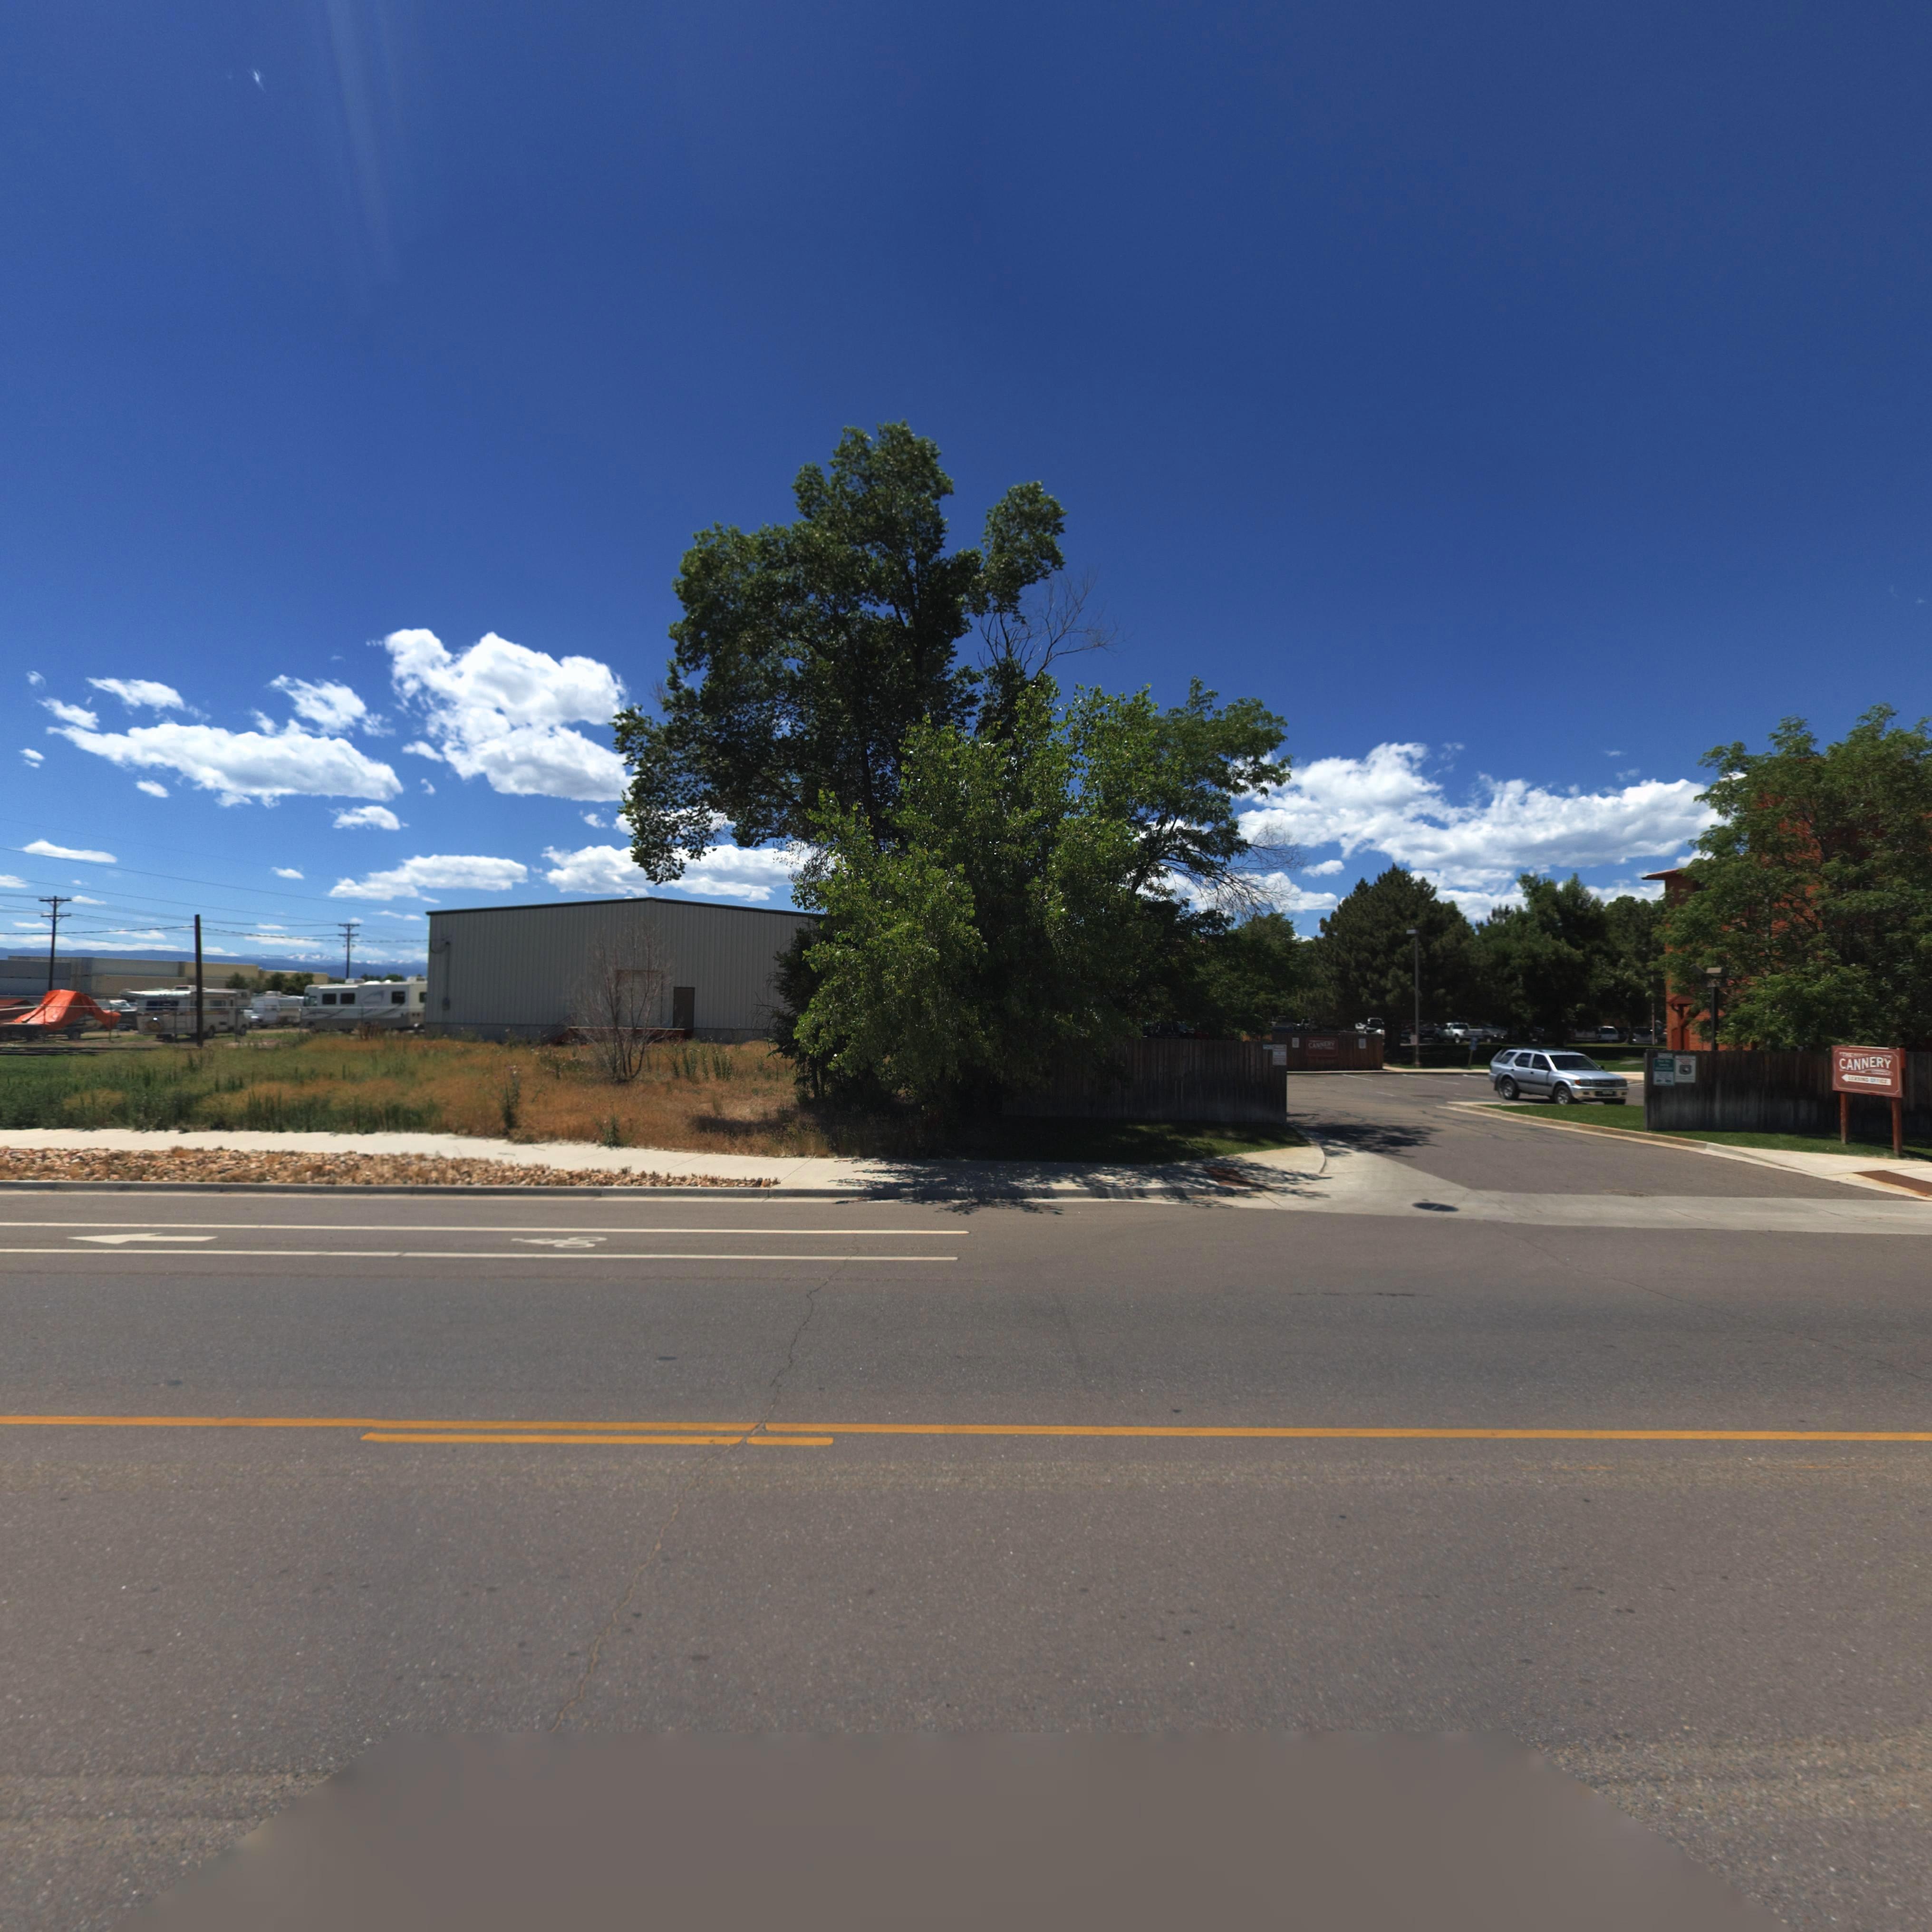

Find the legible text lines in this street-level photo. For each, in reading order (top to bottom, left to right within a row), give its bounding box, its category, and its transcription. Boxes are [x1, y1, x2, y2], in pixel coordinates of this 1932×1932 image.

[1308, 1041, 1334, 1048] BusinessName: CANNERY
[1840, 1052, 1853, 1058] BusinessName: THE
[1839, 1056, 1892, 1071] BusinessName: CANNERY